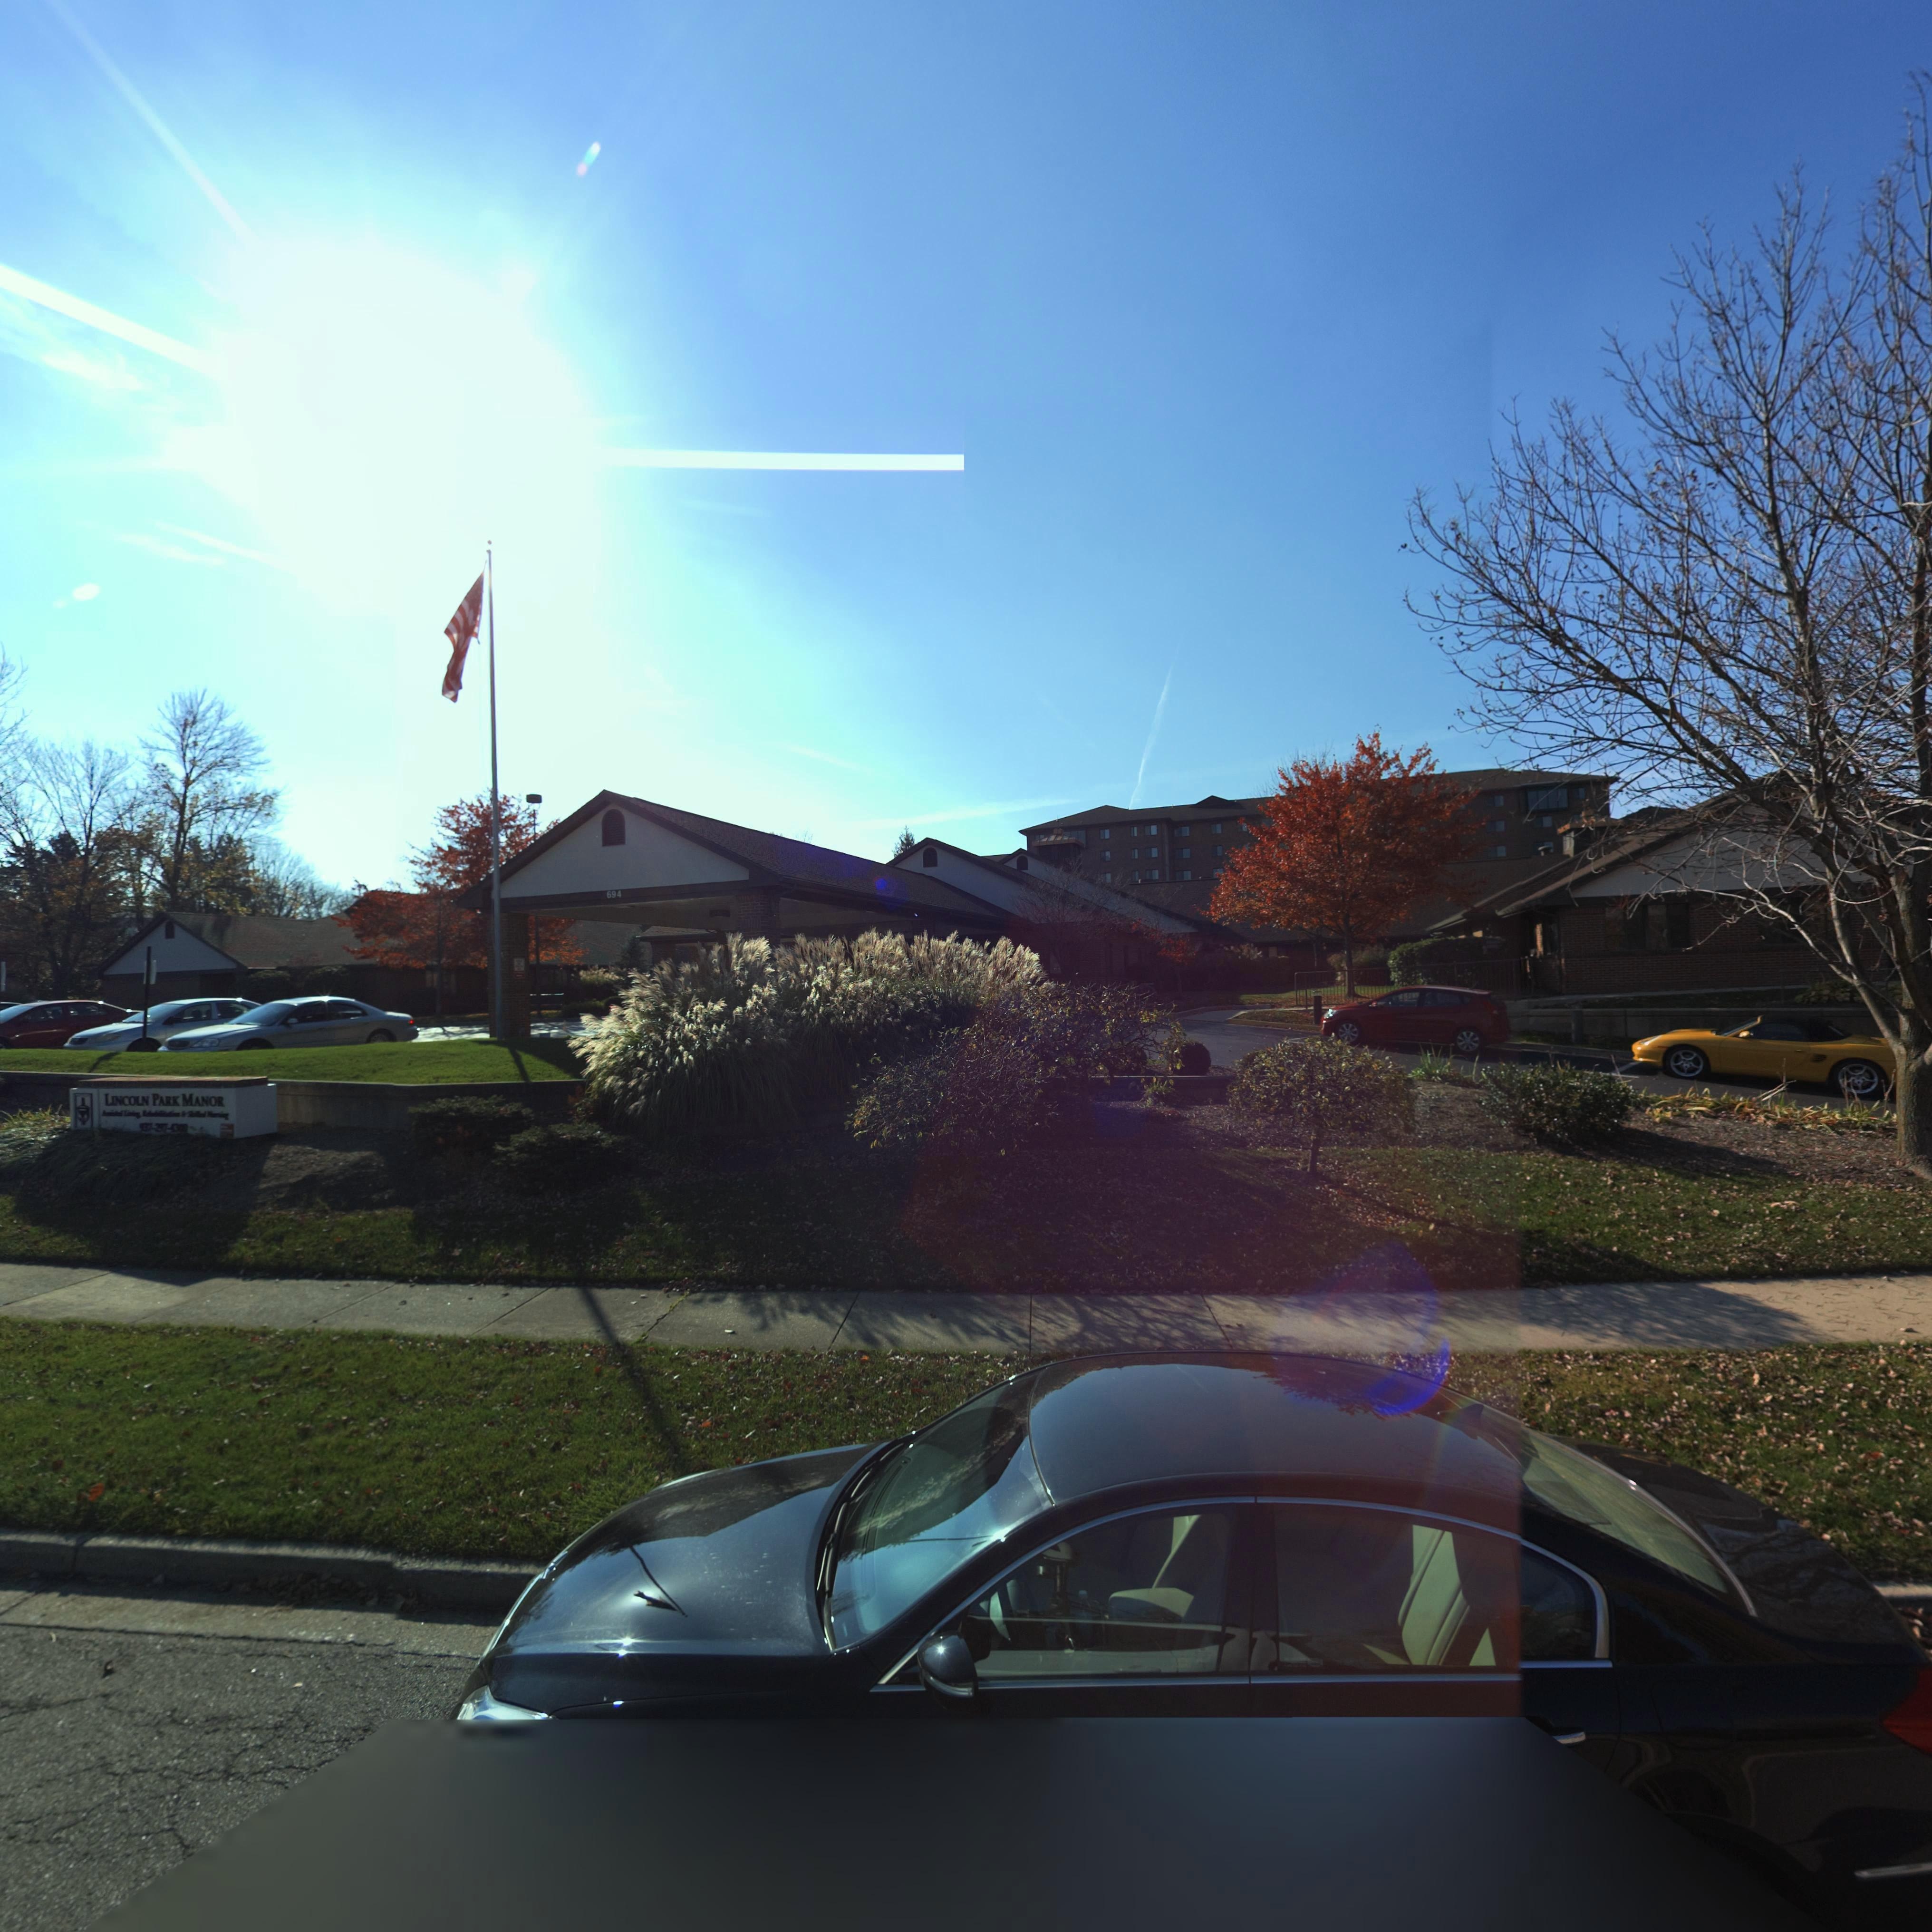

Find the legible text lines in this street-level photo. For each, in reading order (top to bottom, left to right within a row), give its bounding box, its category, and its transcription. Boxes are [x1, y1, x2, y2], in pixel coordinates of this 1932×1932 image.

[606, 889, 622, 899] StreetNumber: 694
[103, 1092, 226, 1108] BusinessName: LINCOLN PARK MANOR